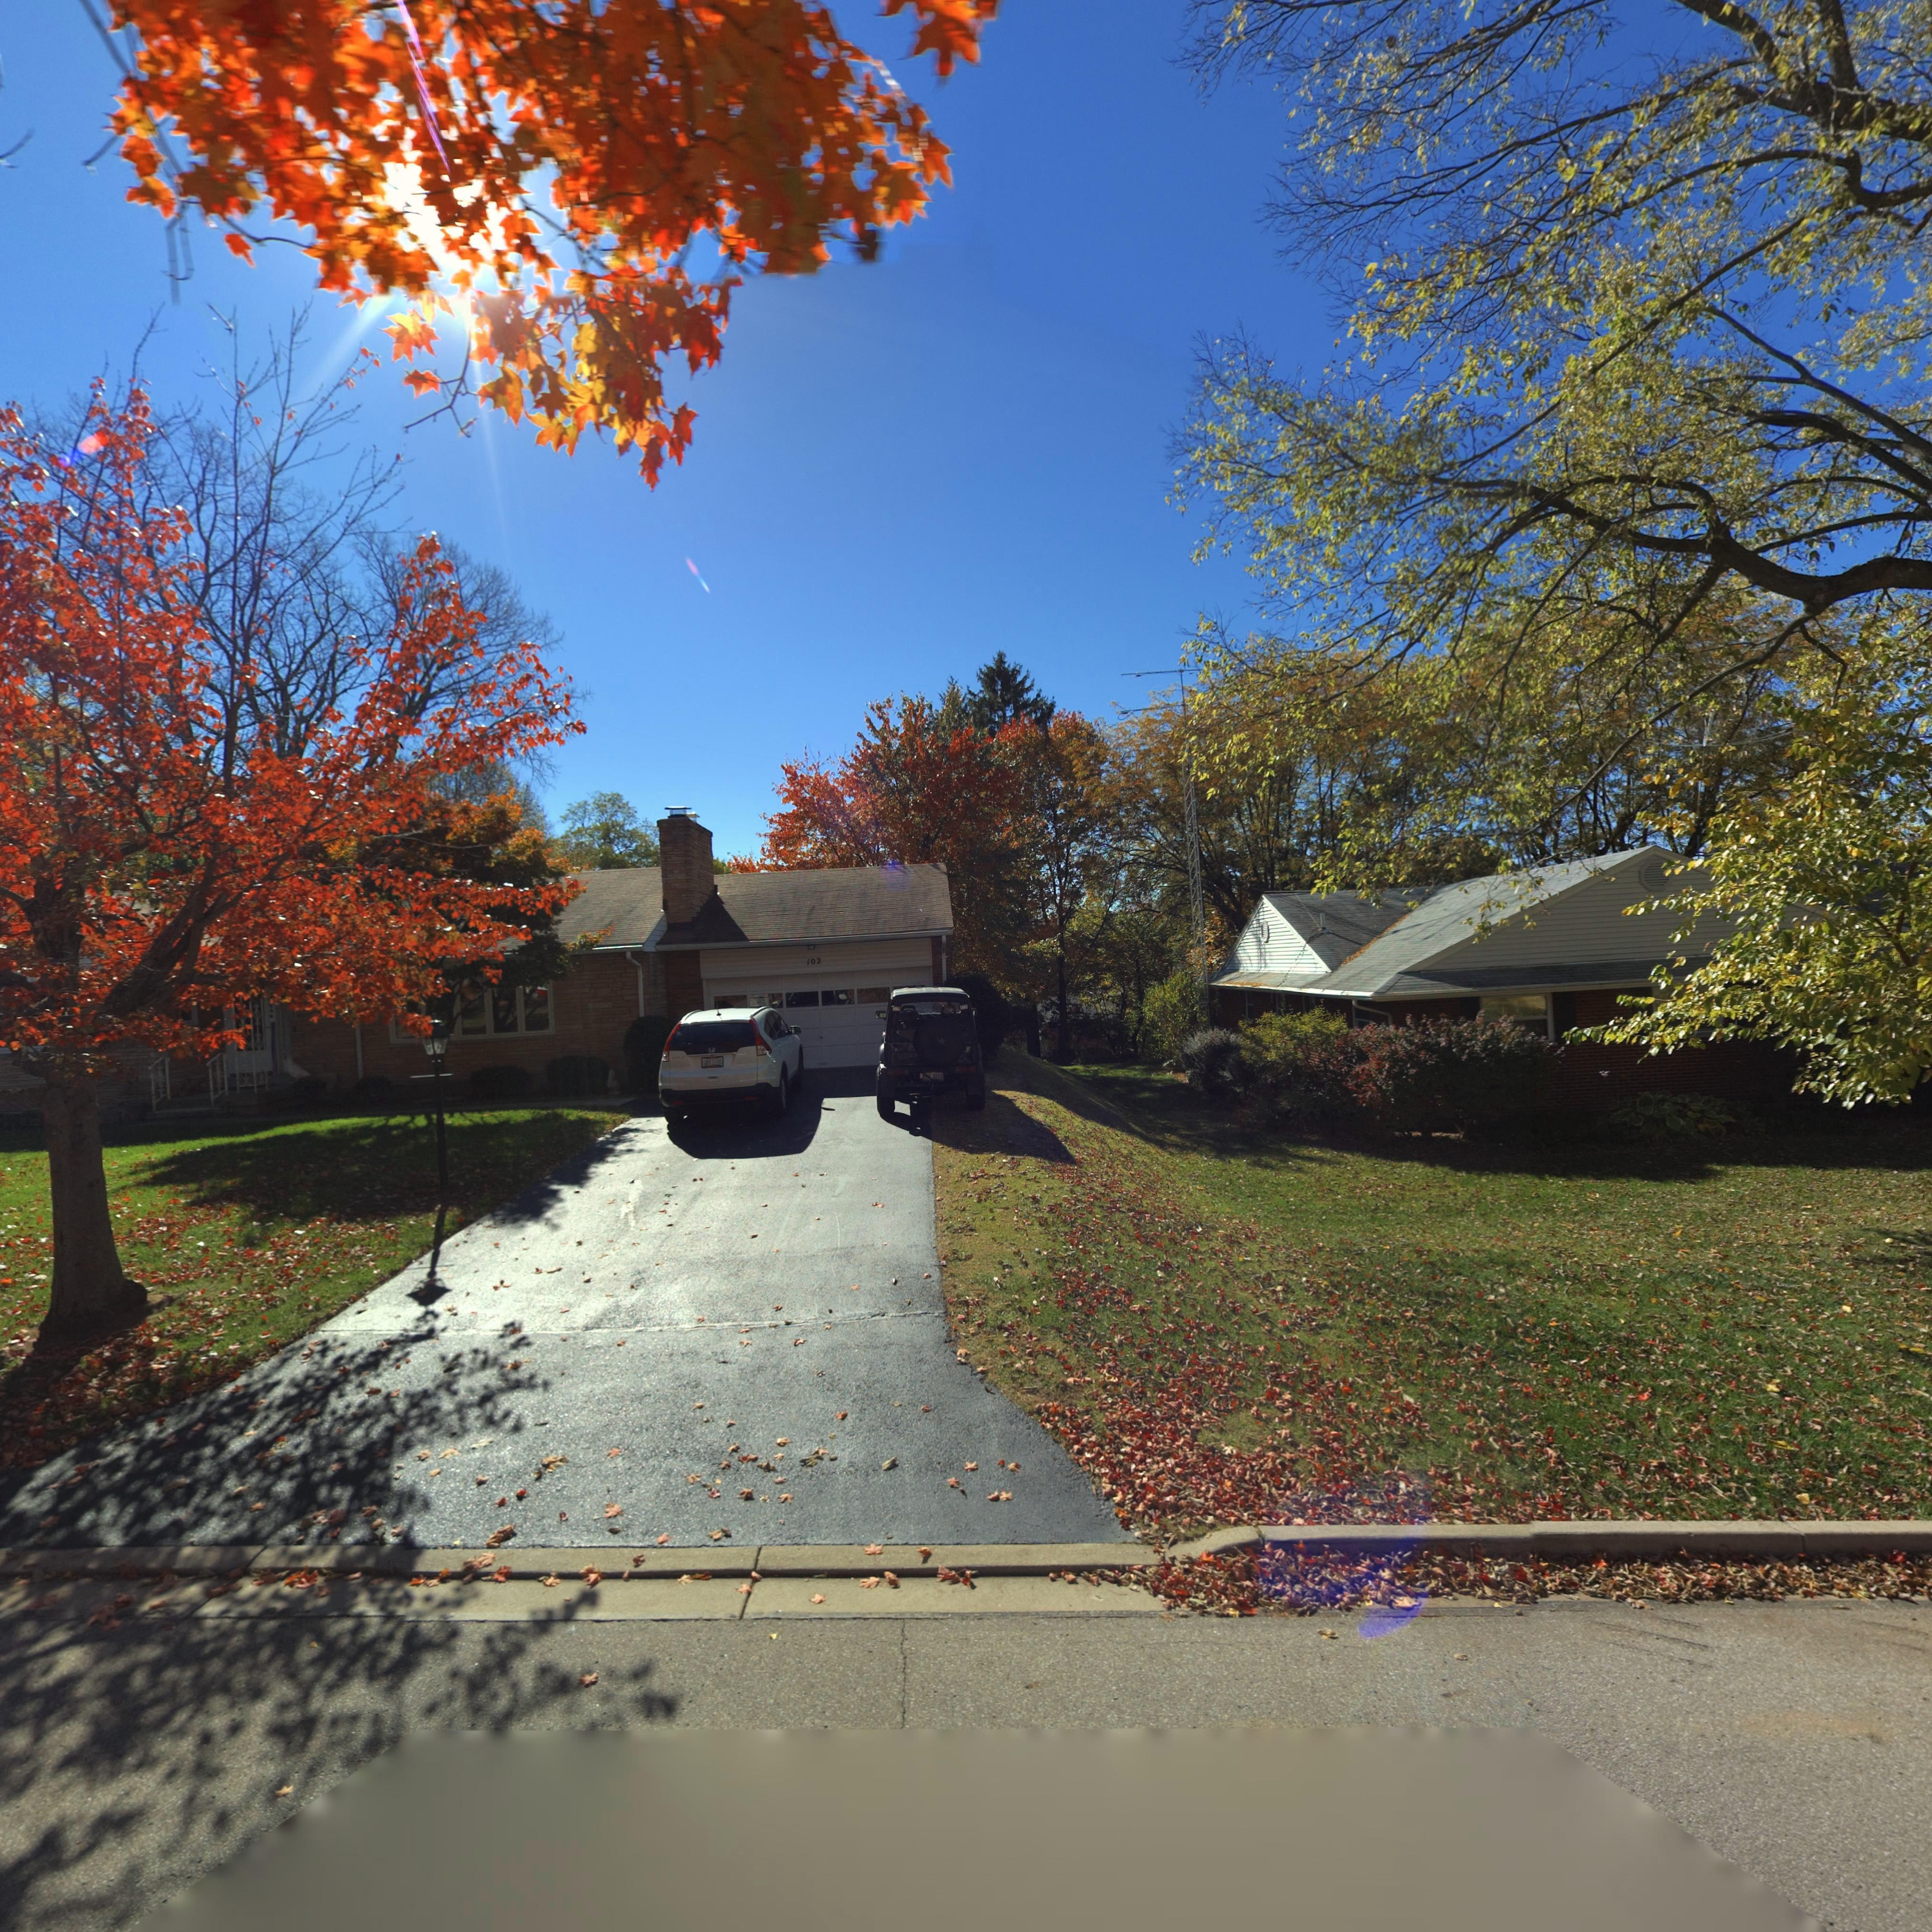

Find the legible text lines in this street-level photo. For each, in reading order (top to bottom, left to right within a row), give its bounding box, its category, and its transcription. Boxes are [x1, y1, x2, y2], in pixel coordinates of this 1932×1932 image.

[807, 957, 821, 965] StreetNumber: 102